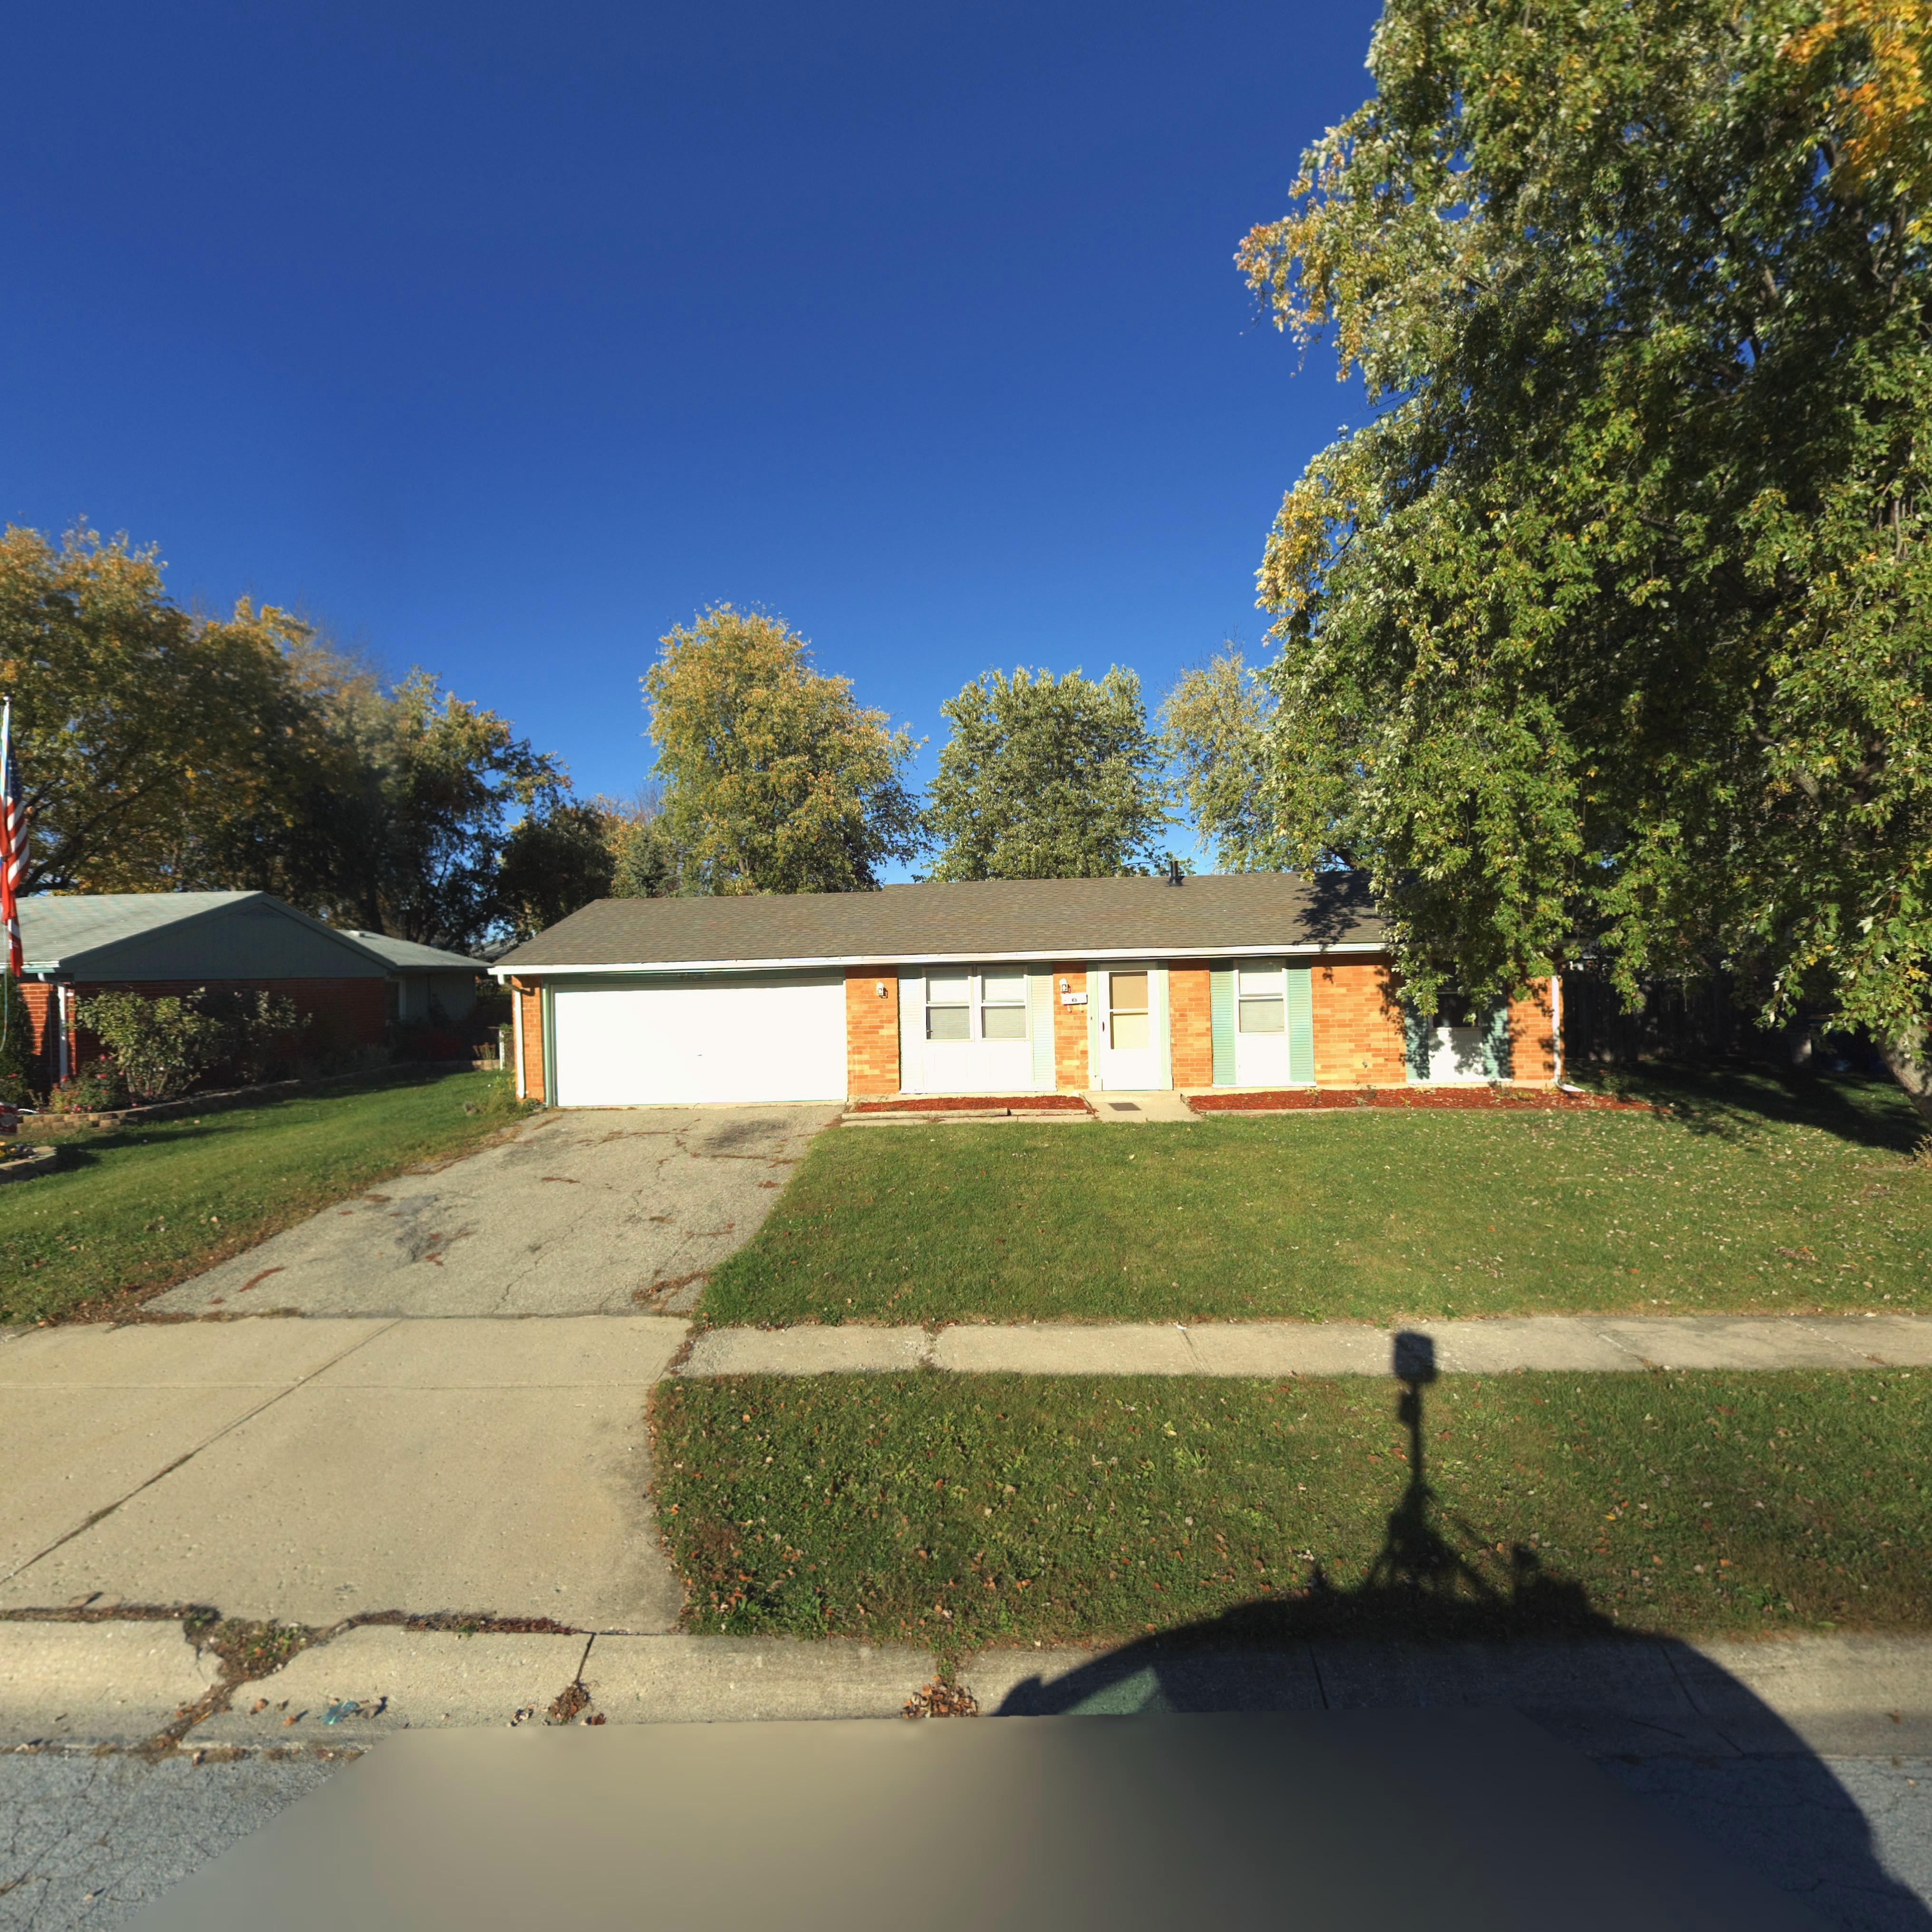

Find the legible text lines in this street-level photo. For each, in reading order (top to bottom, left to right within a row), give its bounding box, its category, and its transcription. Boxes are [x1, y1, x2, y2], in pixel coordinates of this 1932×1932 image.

[679, 972, 705, 981] StreetNumber: 4525